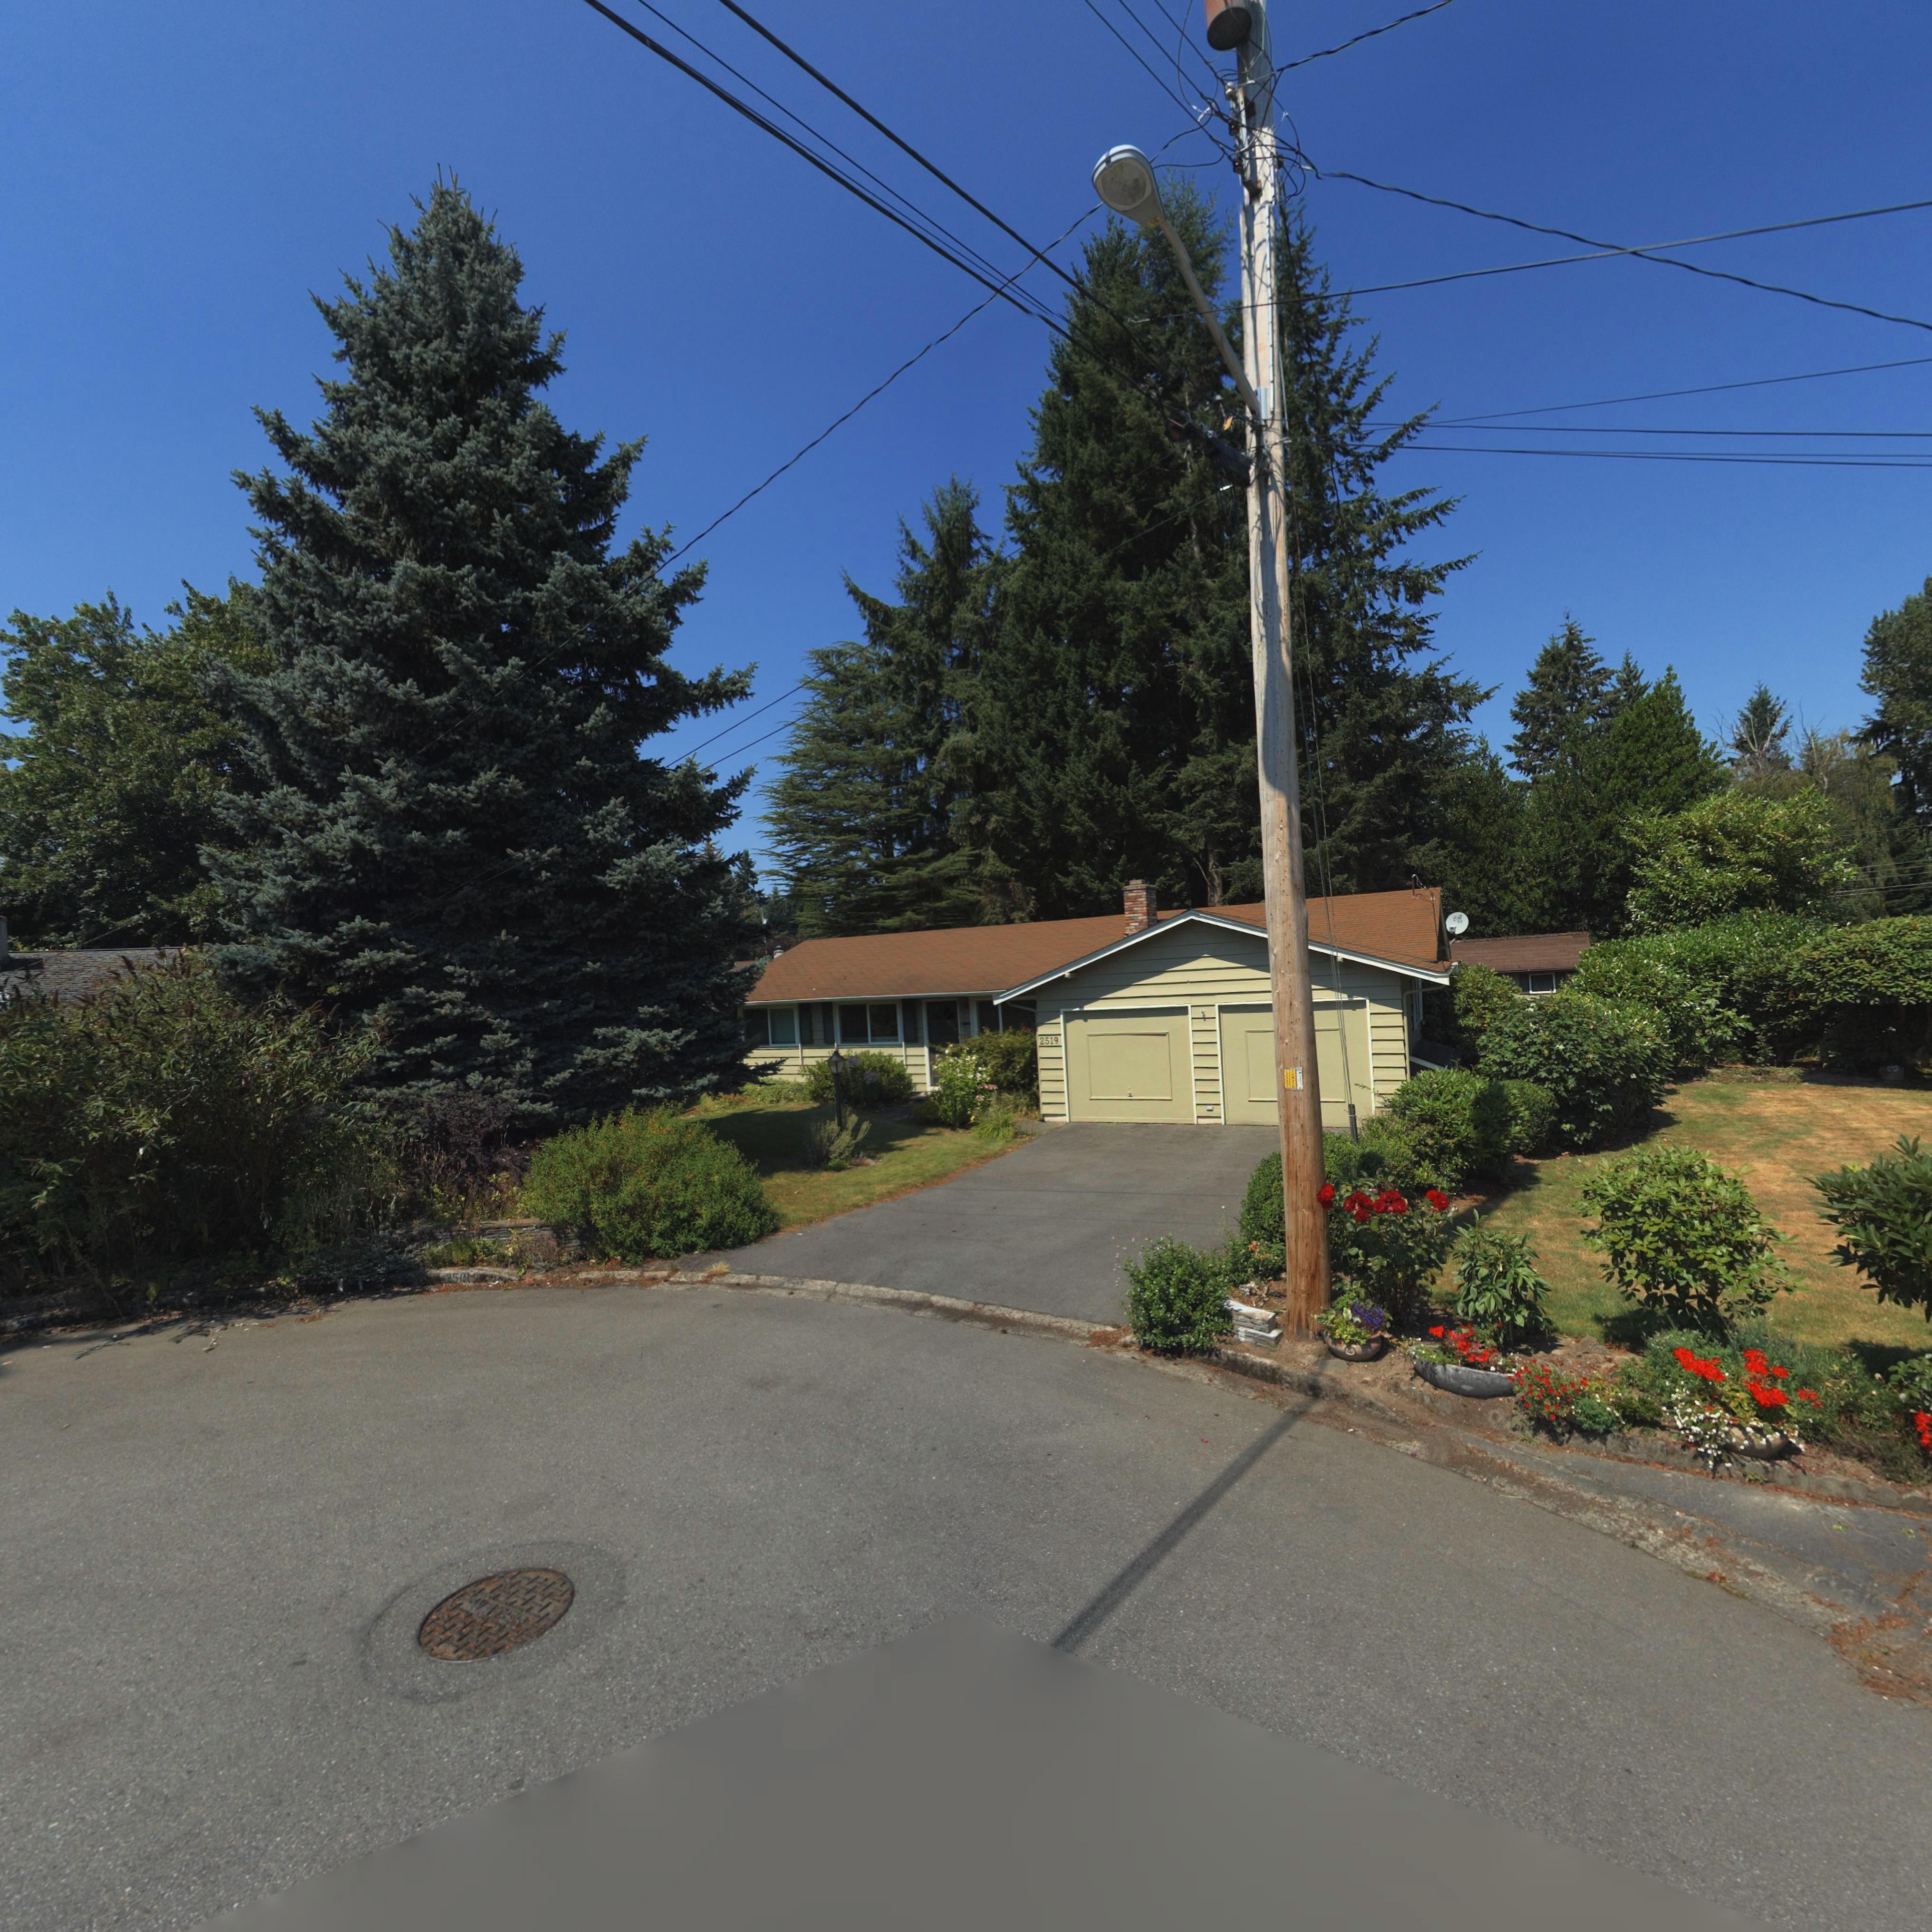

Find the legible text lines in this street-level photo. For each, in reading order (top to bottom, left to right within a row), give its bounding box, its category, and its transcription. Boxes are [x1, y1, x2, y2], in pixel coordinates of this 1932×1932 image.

[1039, 1036, 1058, 1044] StreetNumber: 2519